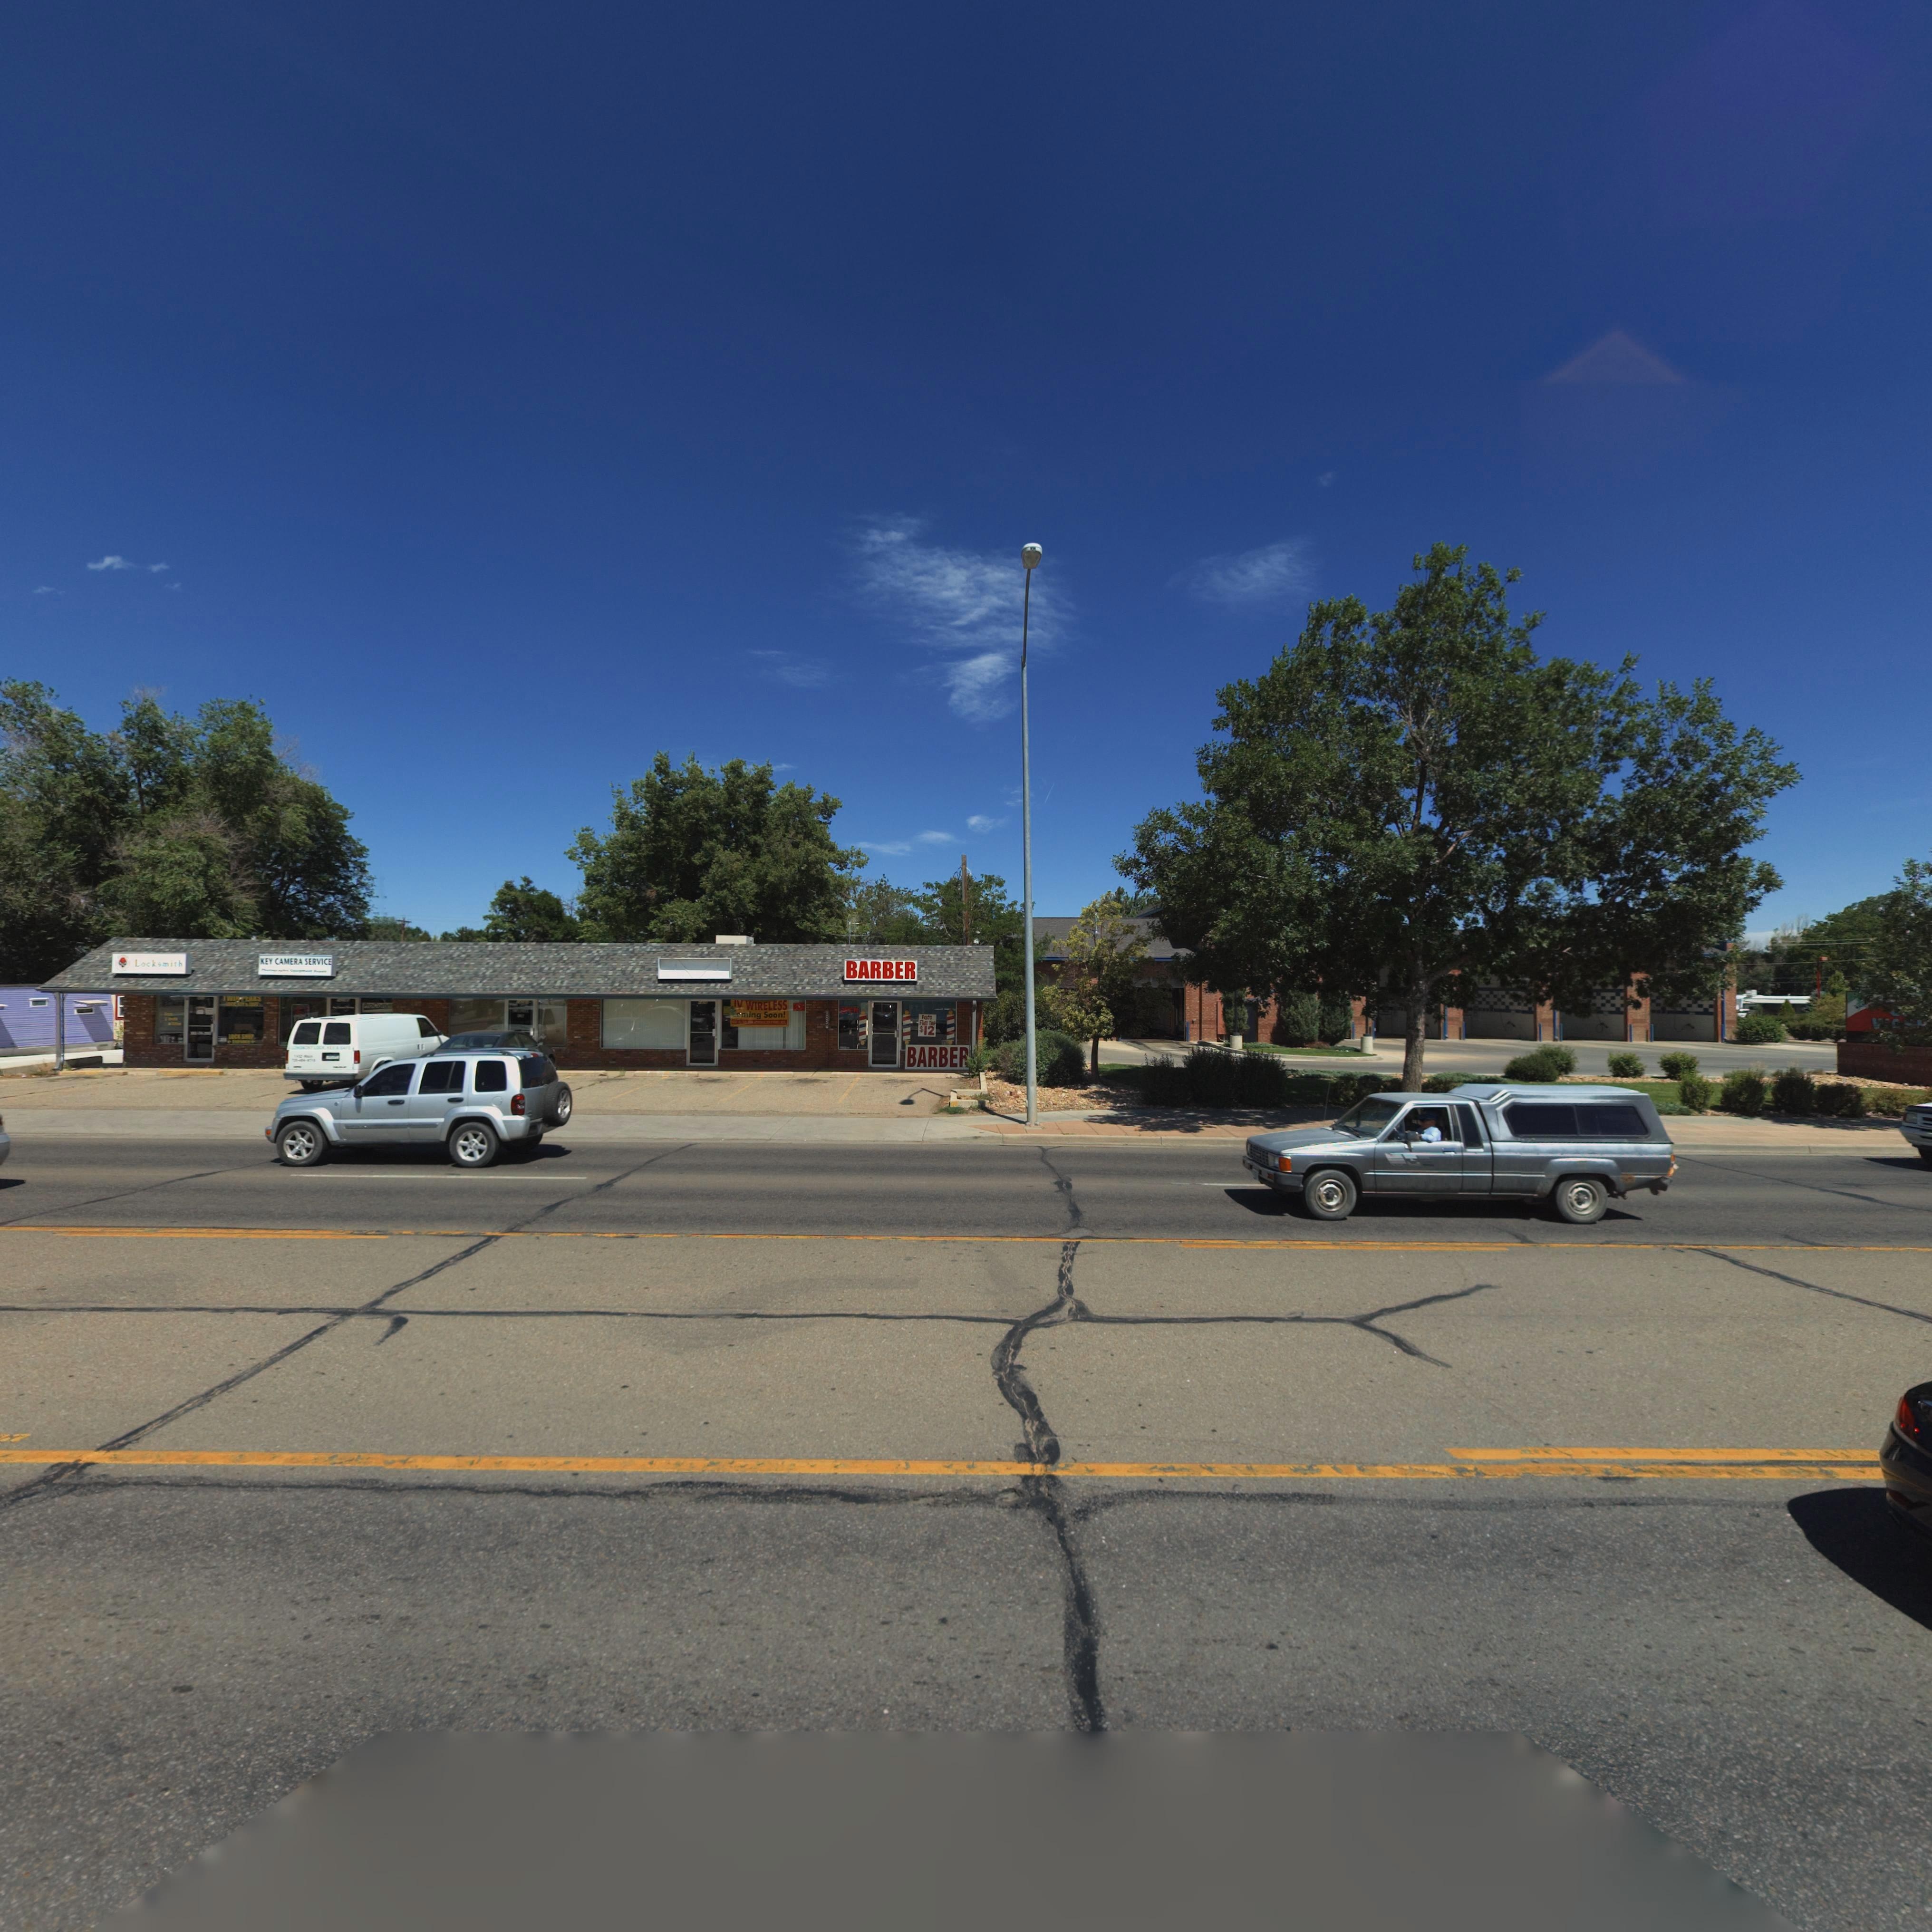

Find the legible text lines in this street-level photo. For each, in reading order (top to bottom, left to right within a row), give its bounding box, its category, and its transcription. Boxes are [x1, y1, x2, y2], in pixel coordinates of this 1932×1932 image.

[260, 957, 332, 965] BusinessName: KEY CAMERA SERVICE